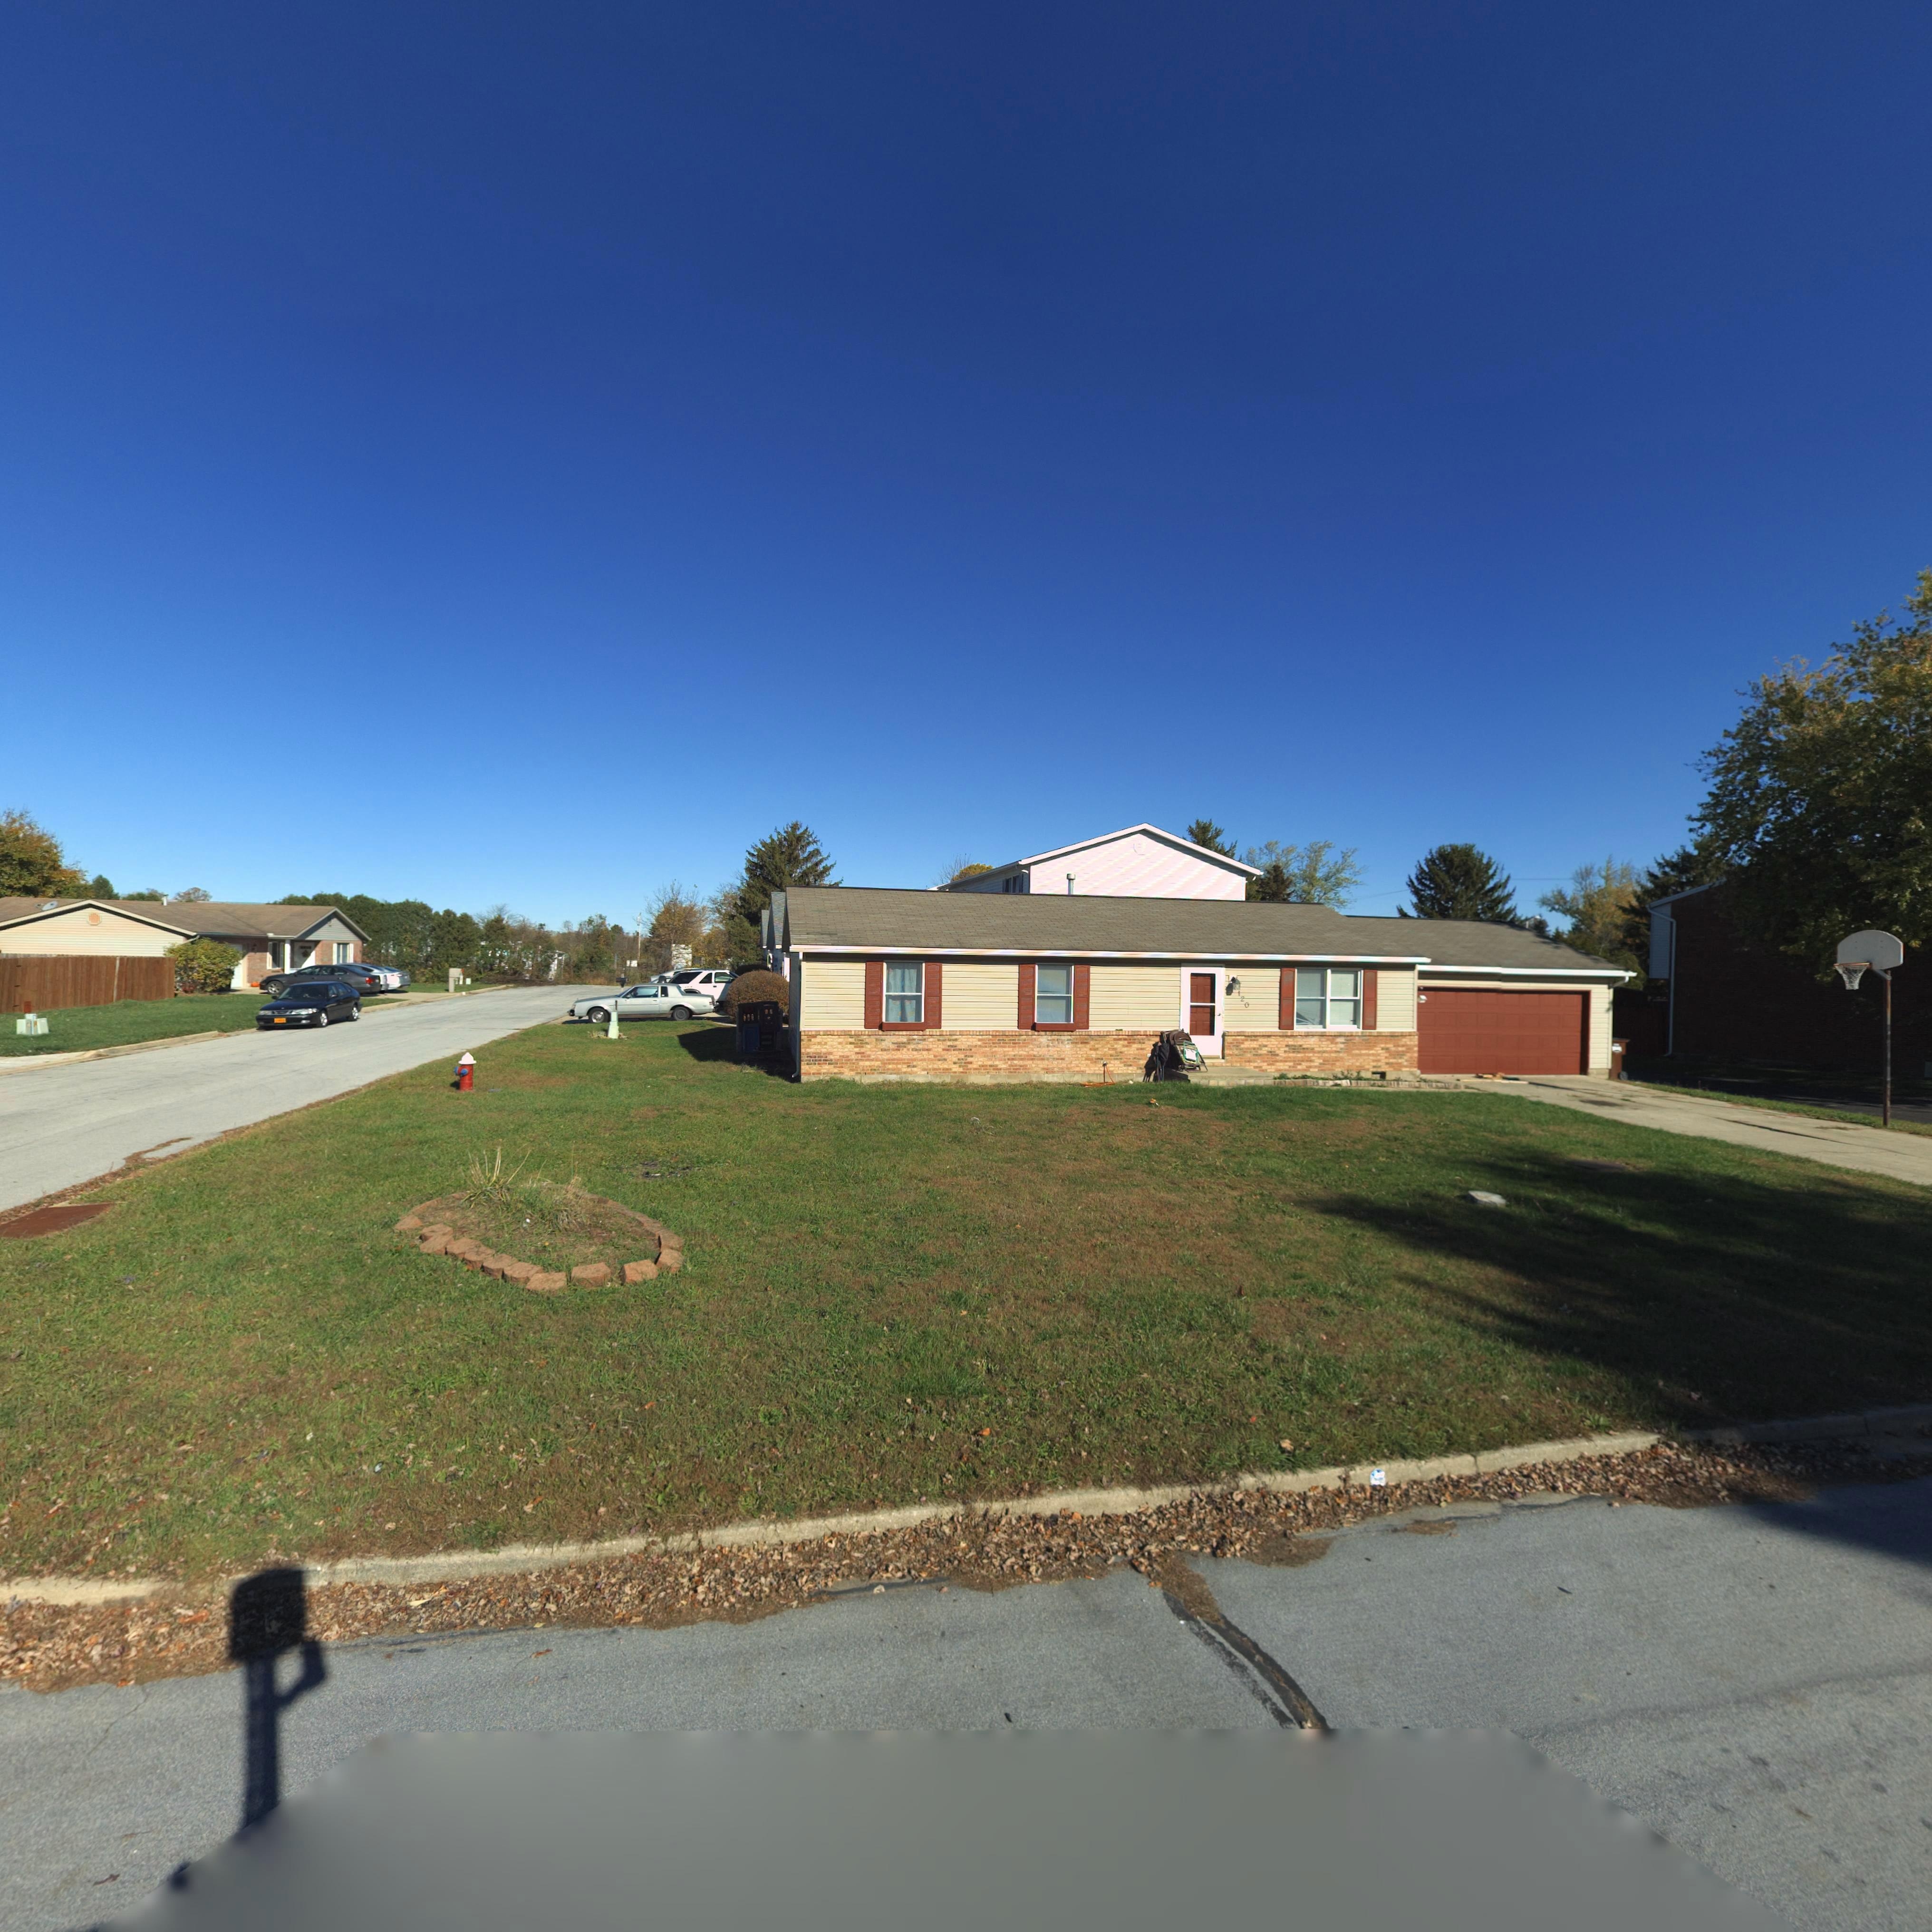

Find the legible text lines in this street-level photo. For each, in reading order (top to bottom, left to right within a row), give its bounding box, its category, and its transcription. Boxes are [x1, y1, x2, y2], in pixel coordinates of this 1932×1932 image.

[1237, 990, 1249, 1008] StreetNumber: 120